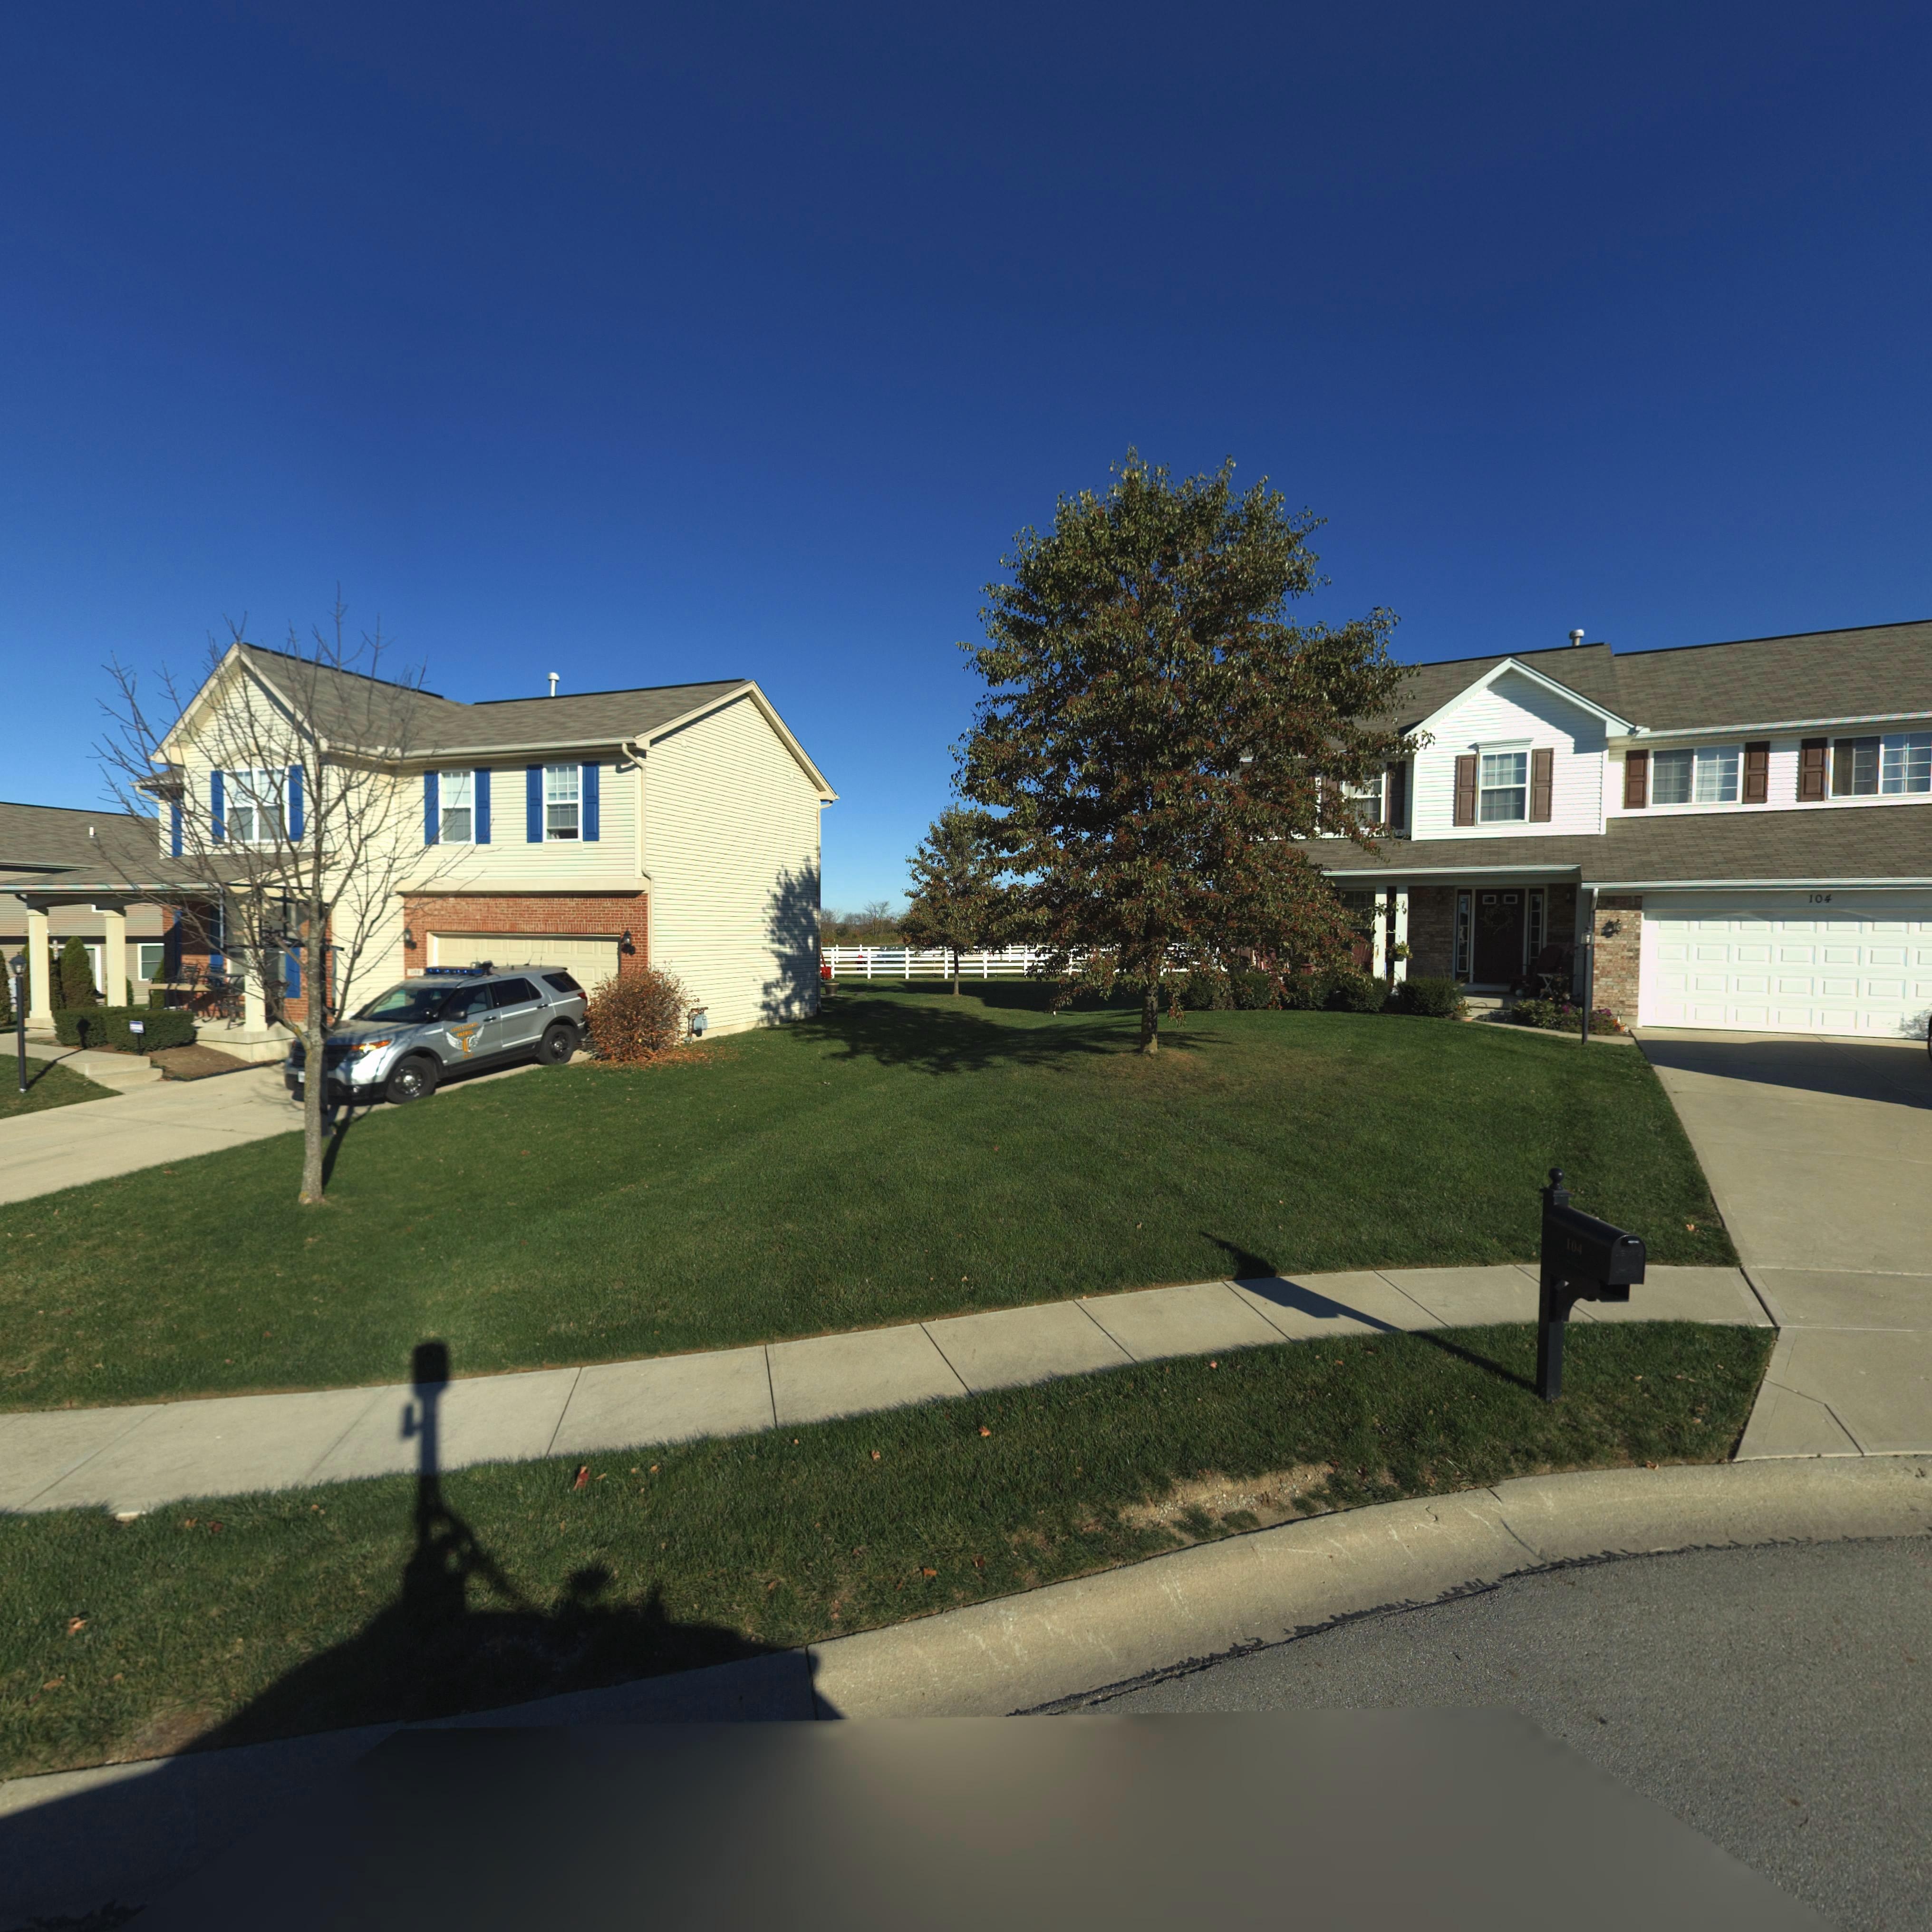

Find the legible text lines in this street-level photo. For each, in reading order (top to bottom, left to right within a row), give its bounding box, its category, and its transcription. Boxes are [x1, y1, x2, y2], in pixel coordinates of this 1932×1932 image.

[1808, 893, 1833, 904] StreetNumber: 104
[1566, 1236, 1584, 1256] StreetNumber: 104